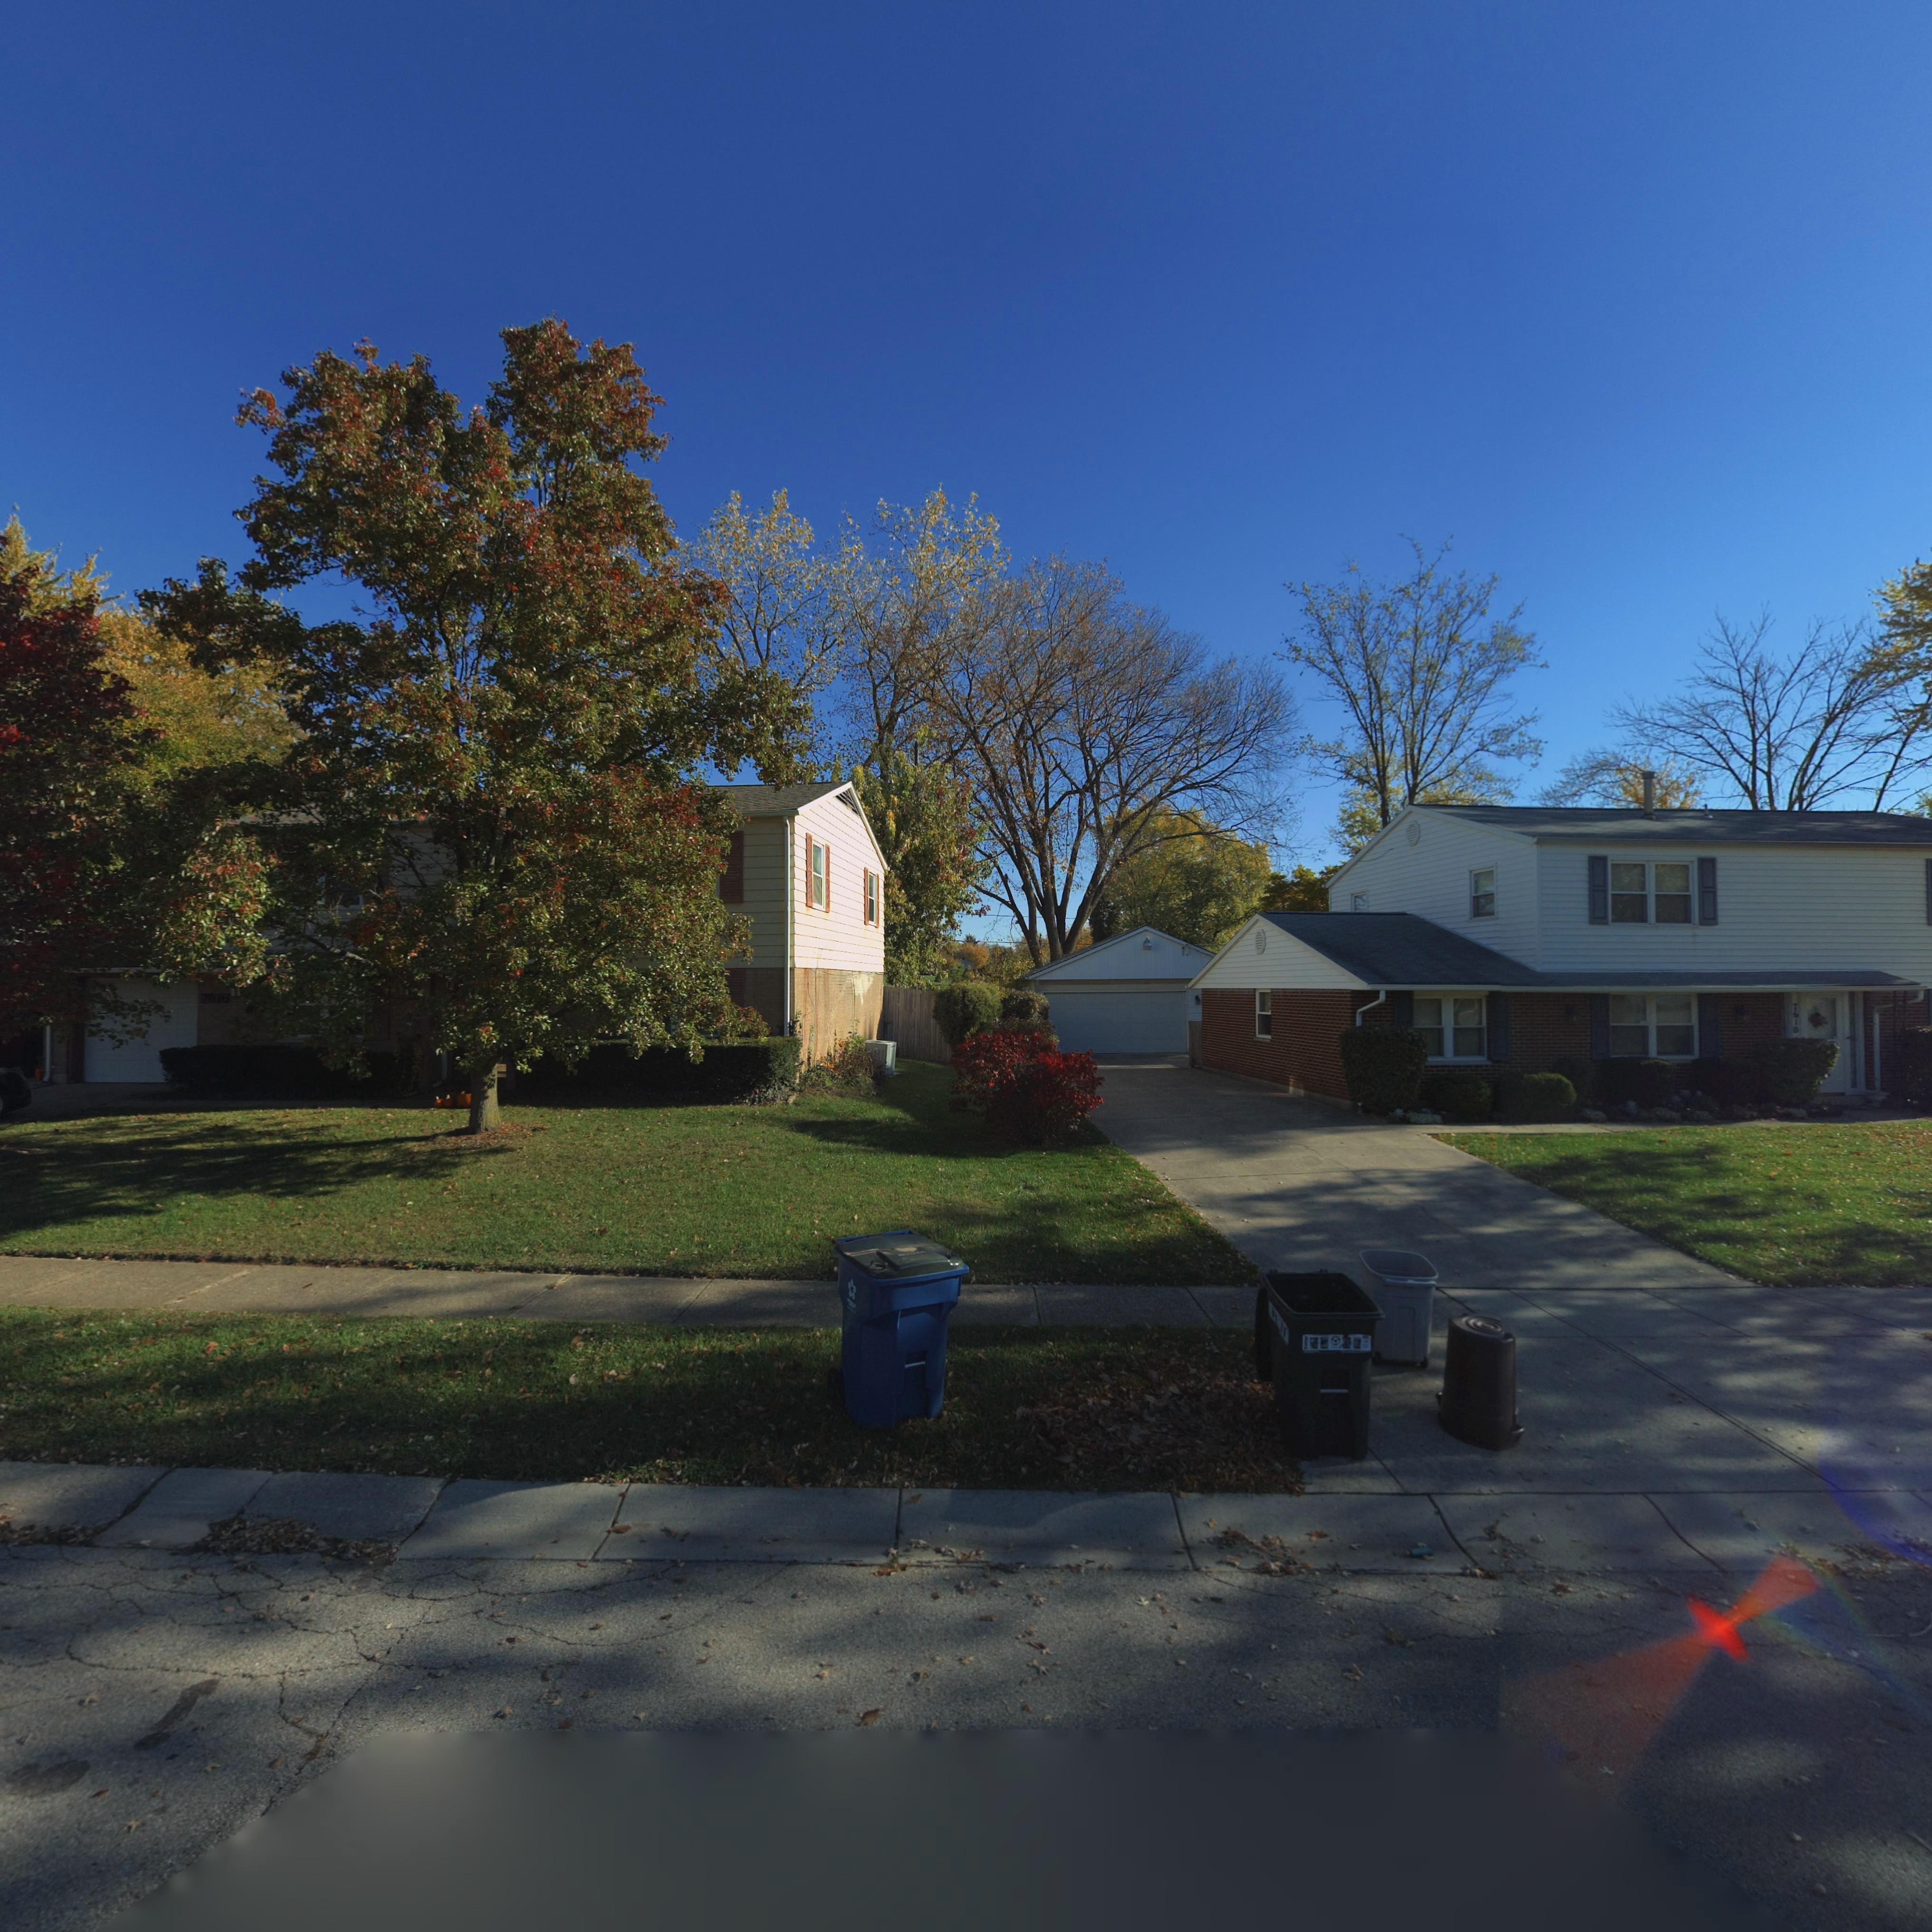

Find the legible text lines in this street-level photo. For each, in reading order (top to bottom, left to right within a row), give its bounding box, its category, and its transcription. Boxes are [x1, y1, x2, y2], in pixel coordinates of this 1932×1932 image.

[1792, 1002, 1799, 1034] StreetNumber: 7610